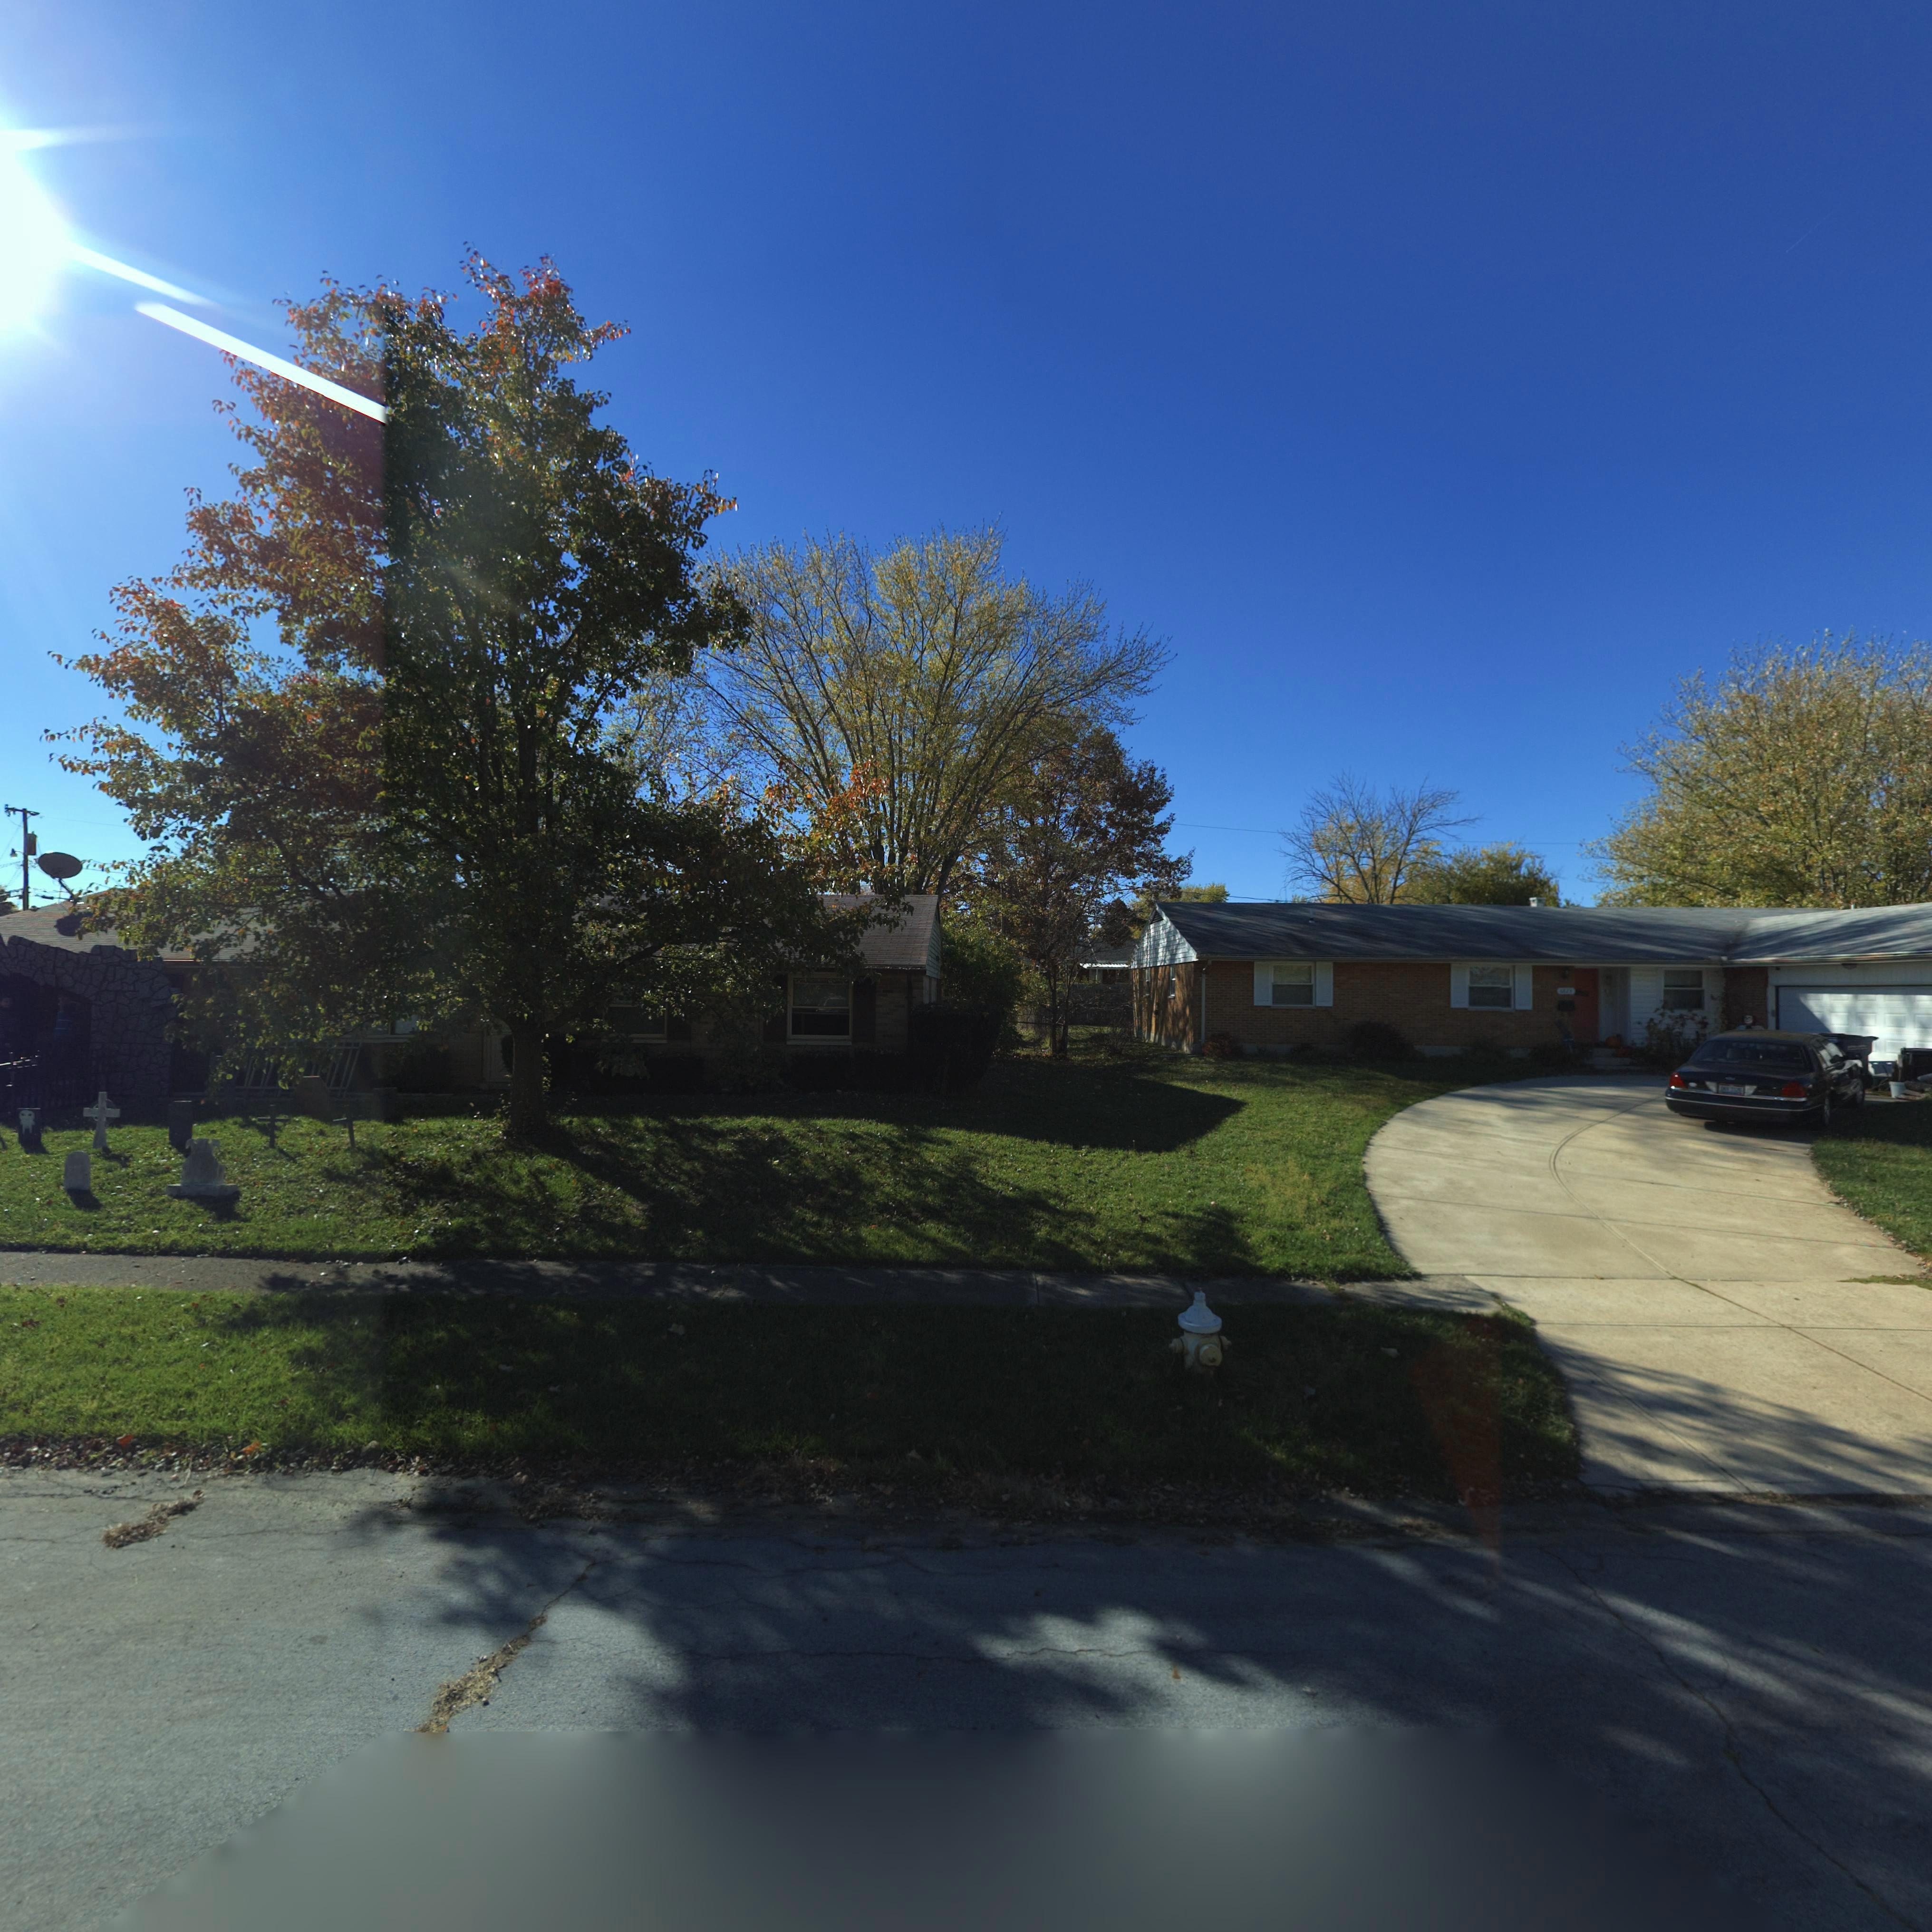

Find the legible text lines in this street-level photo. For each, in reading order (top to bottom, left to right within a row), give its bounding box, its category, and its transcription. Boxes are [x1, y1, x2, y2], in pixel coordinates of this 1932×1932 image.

[1559, 988, 1573, 994] StreetNumber: 682*